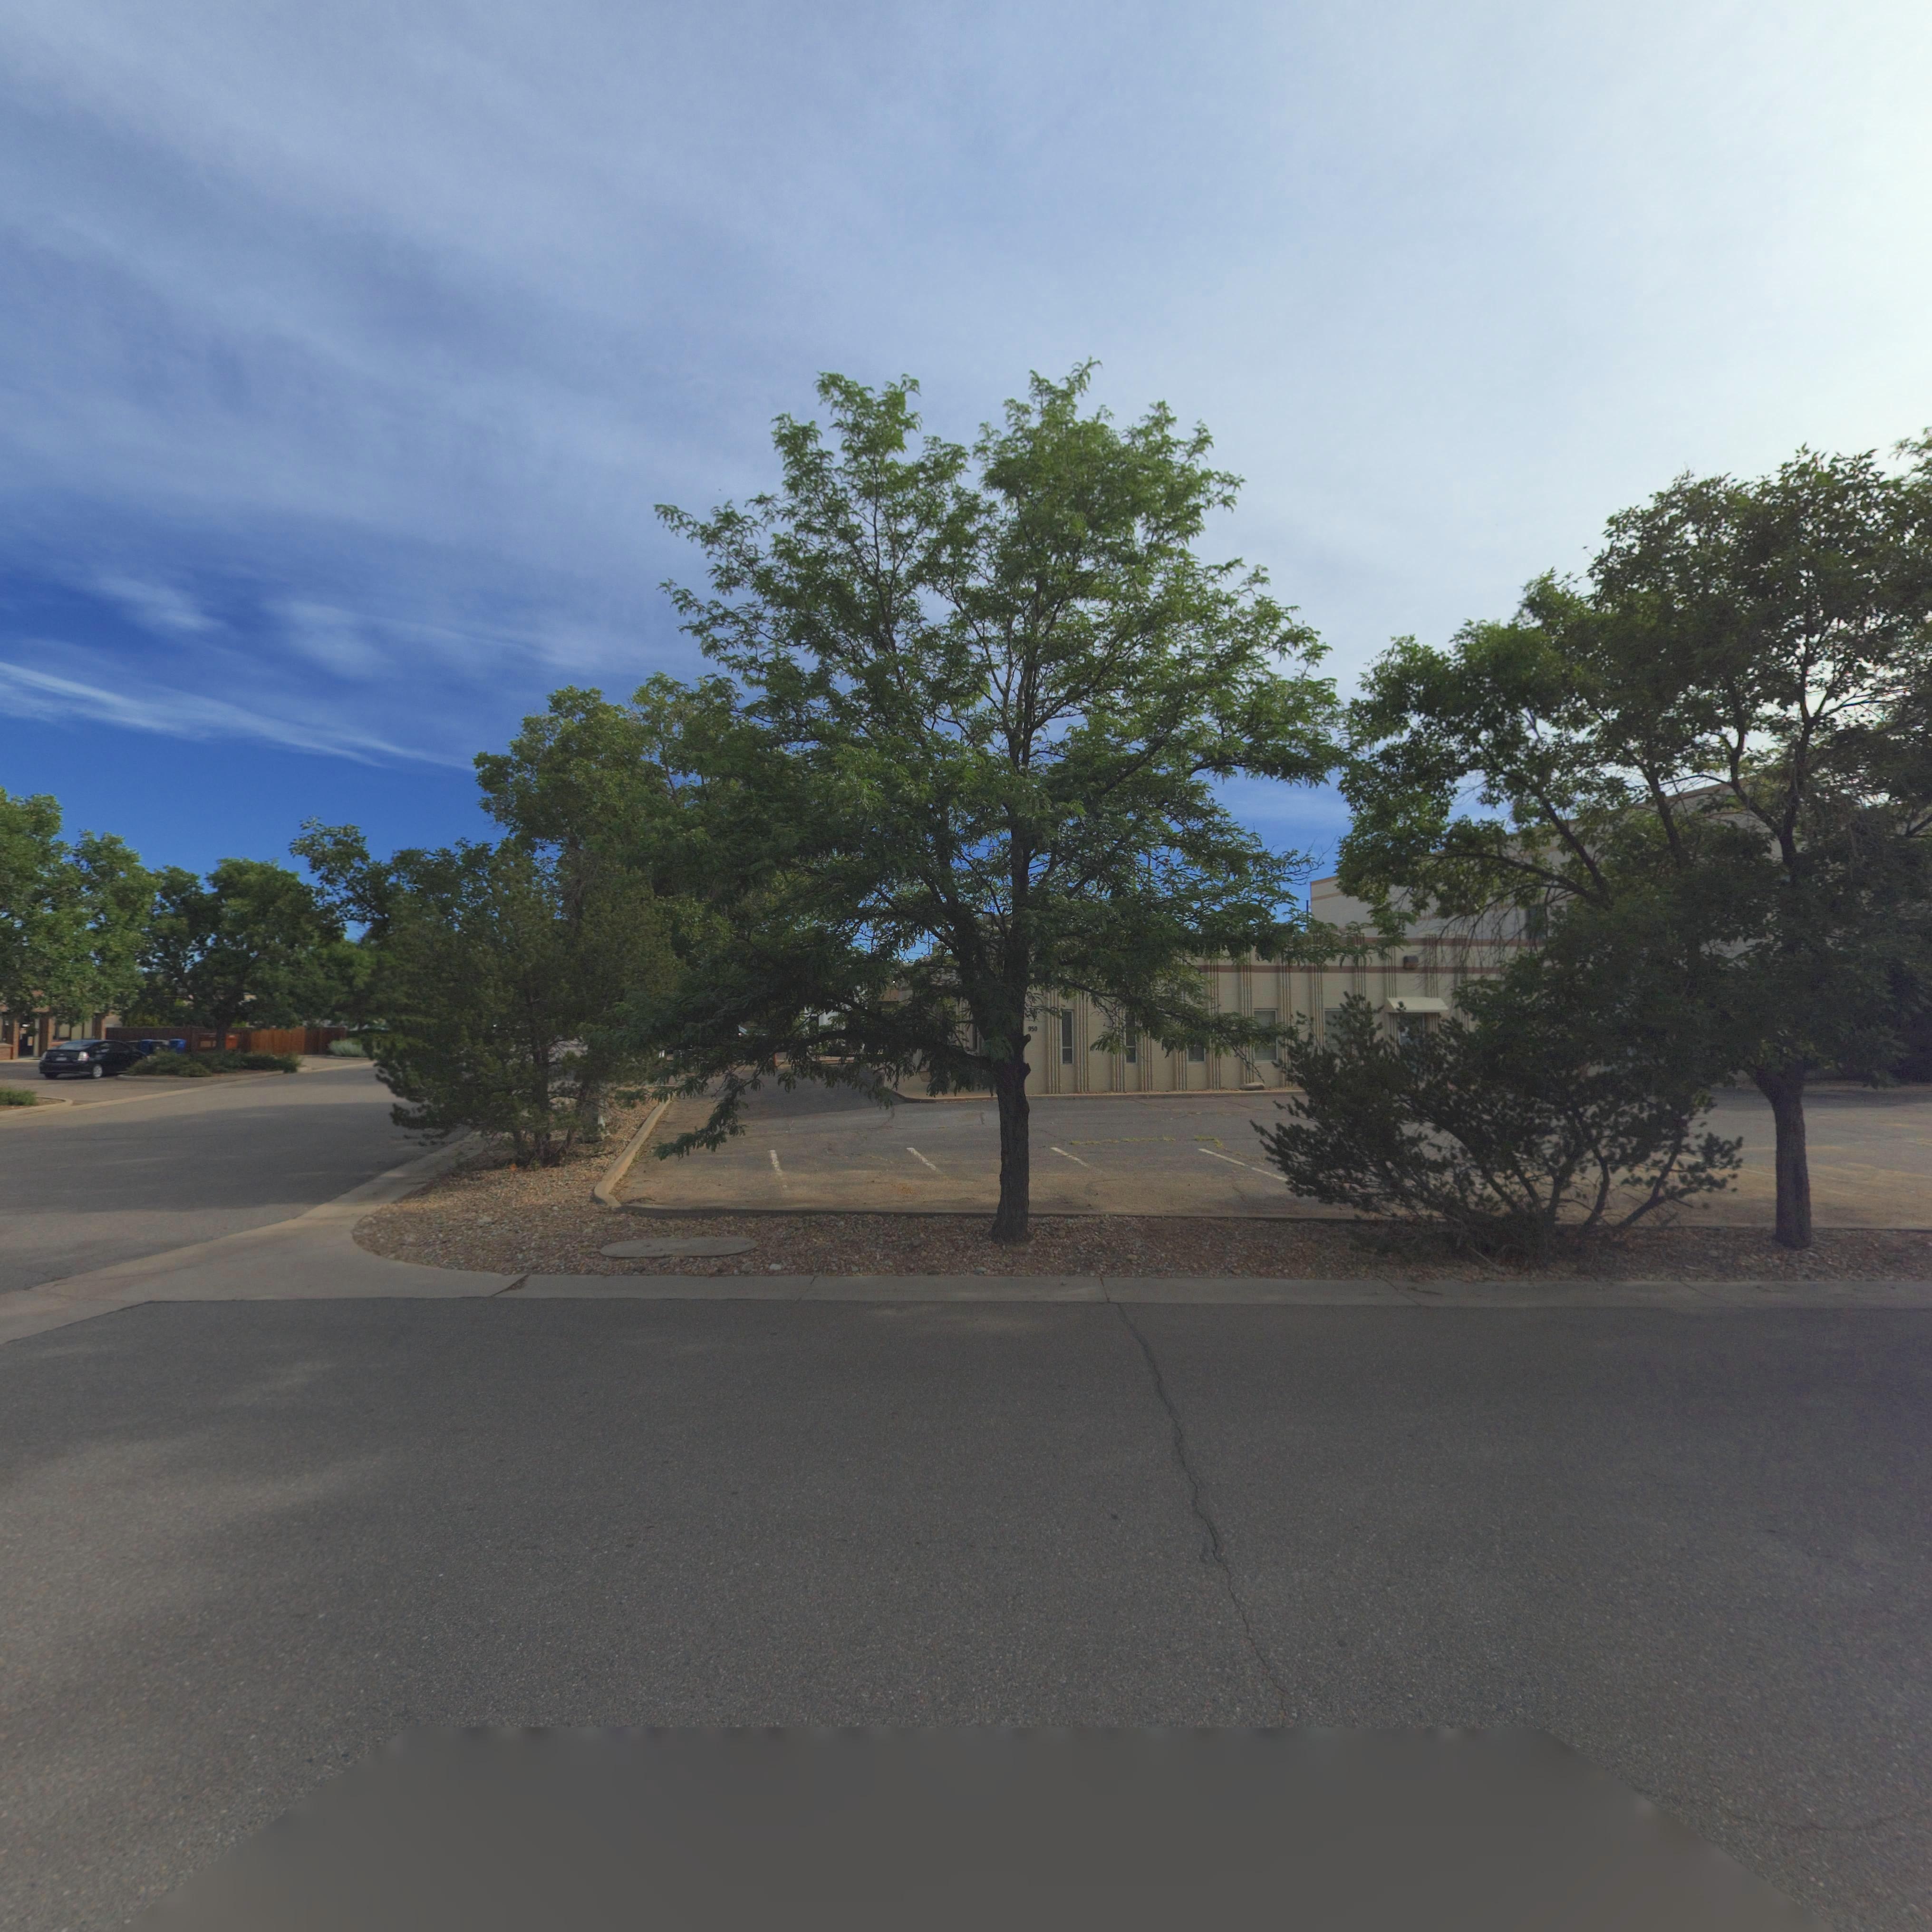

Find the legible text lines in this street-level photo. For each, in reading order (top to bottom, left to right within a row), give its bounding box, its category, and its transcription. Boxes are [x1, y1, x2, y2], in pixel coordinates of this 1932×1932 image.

[1028, 1025, 1037, 1031] StreetNumber: 950